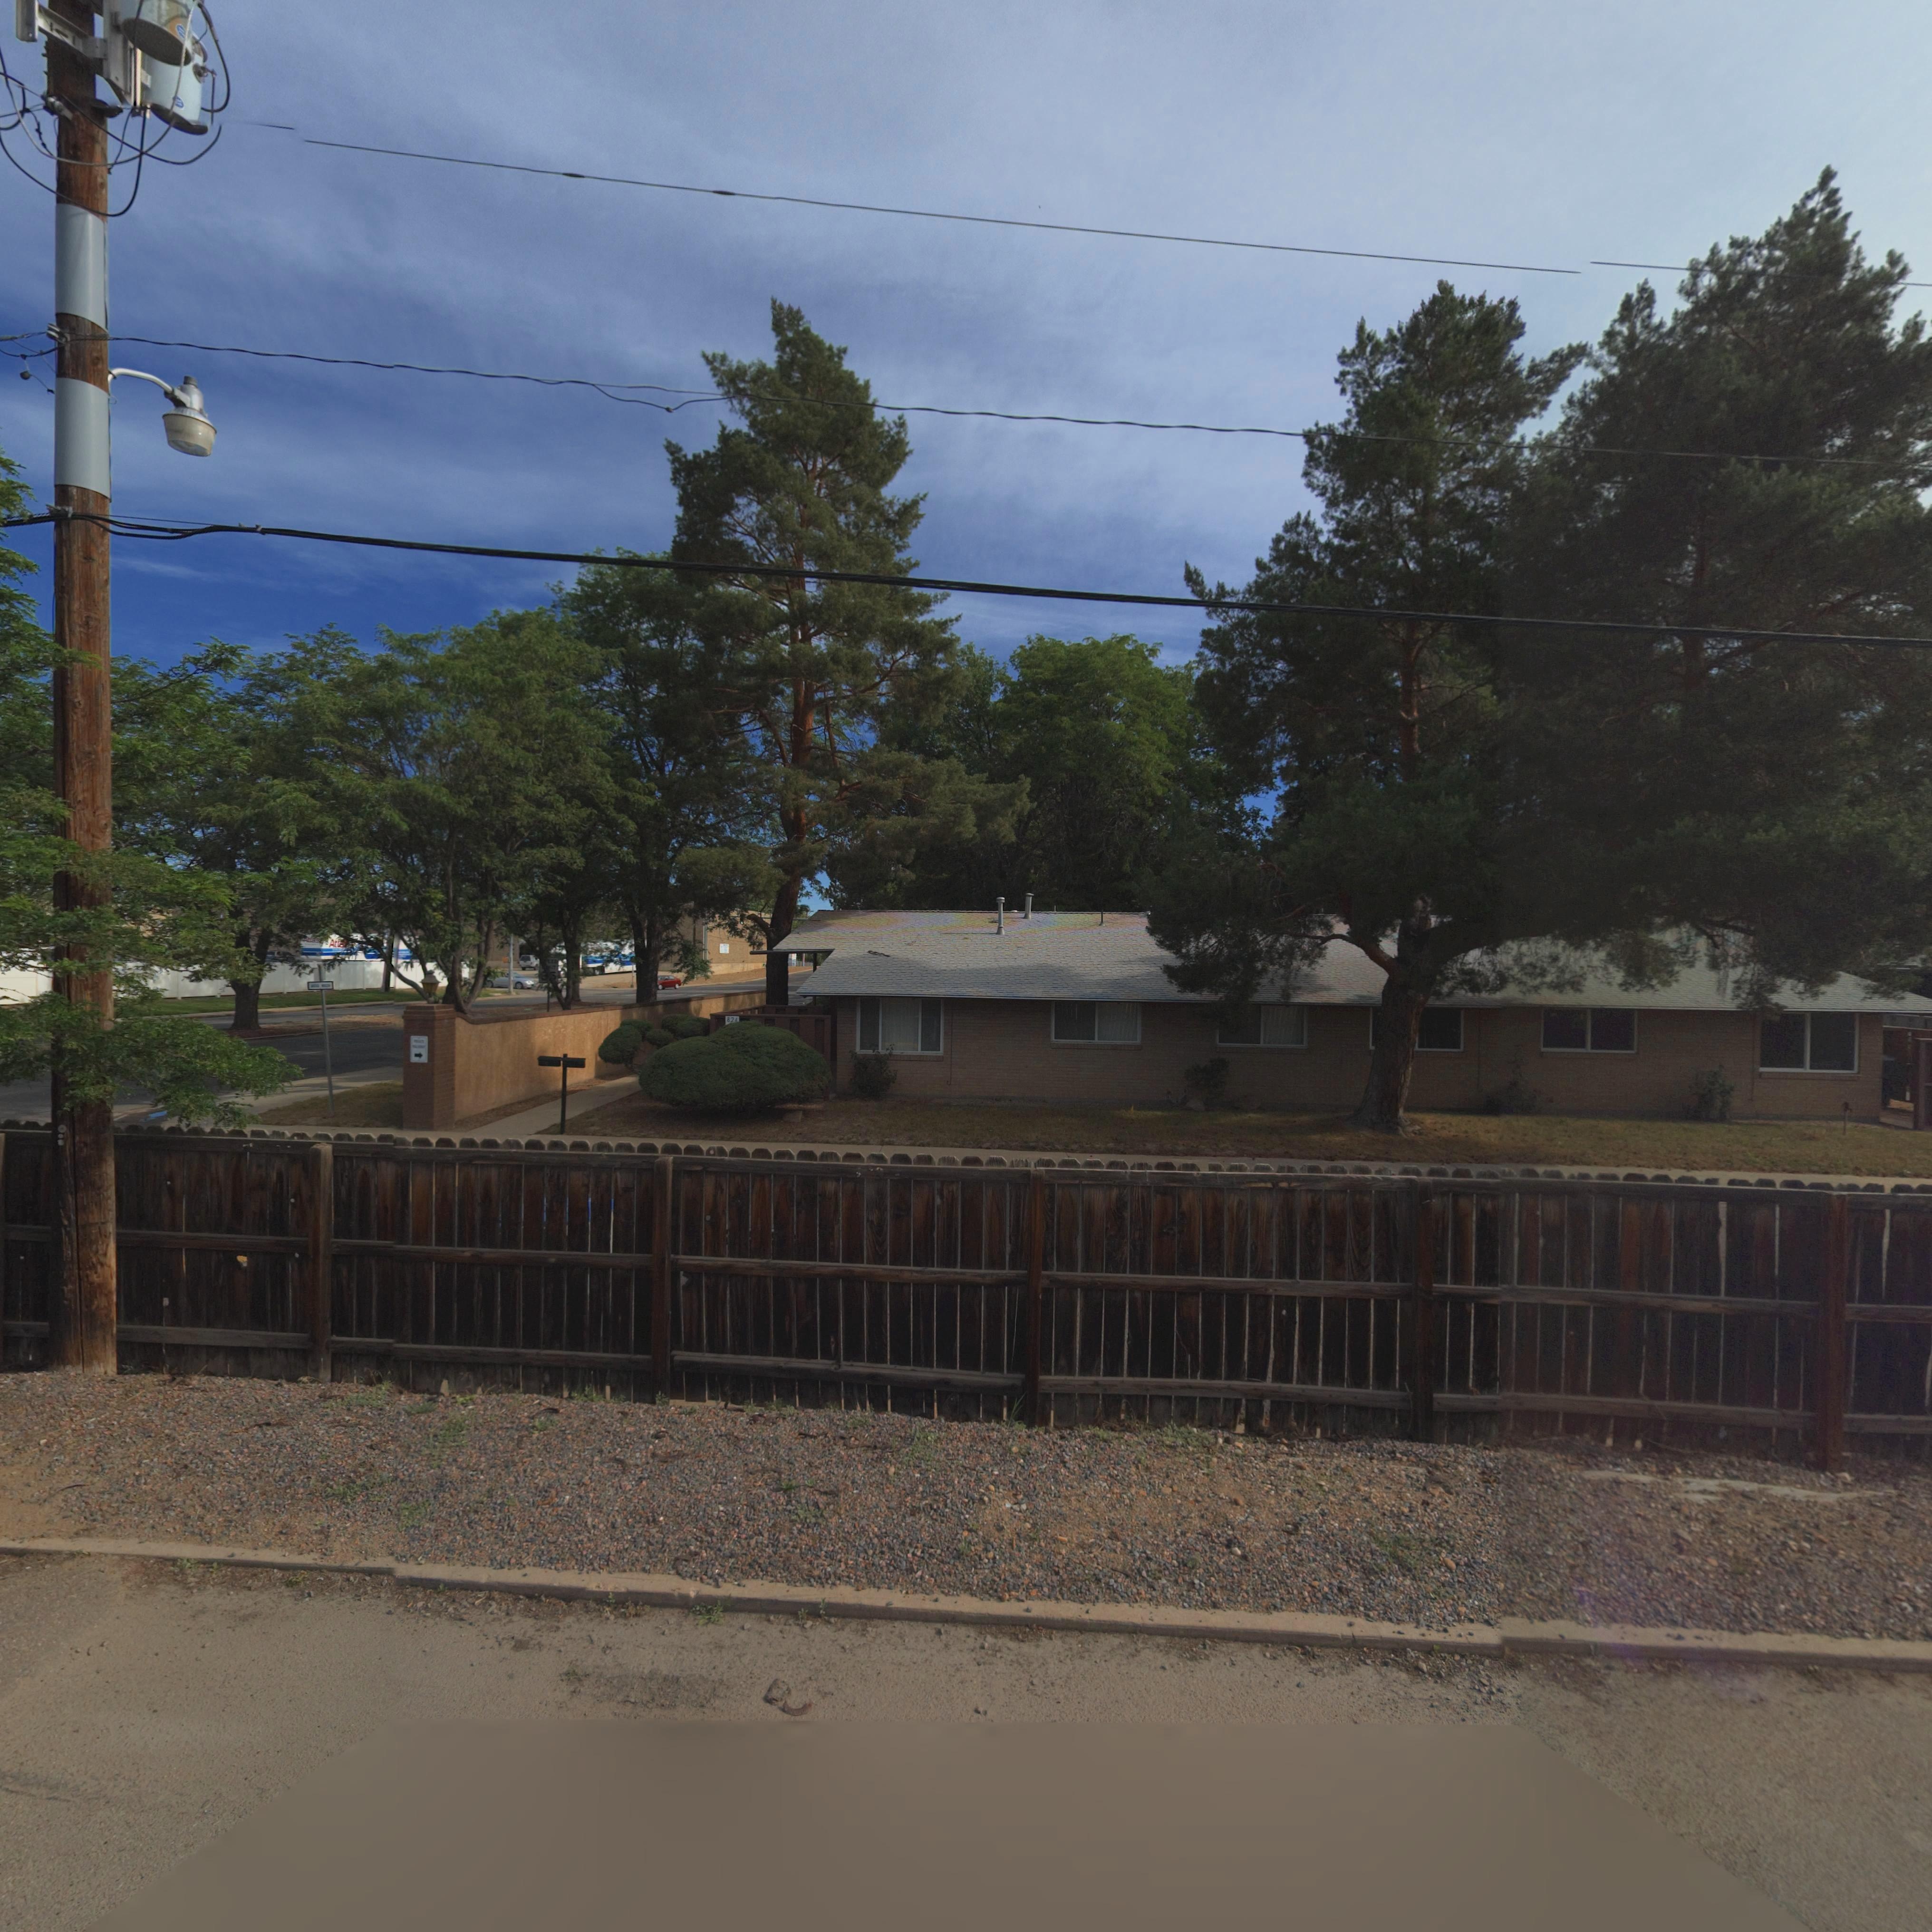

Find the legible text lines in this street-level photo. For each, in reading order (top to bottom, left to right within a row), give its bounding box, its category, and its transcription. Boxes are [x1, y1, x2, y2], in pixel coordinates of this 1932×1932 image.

[727, 1017, 738, 1023] StreetNumber: 82*